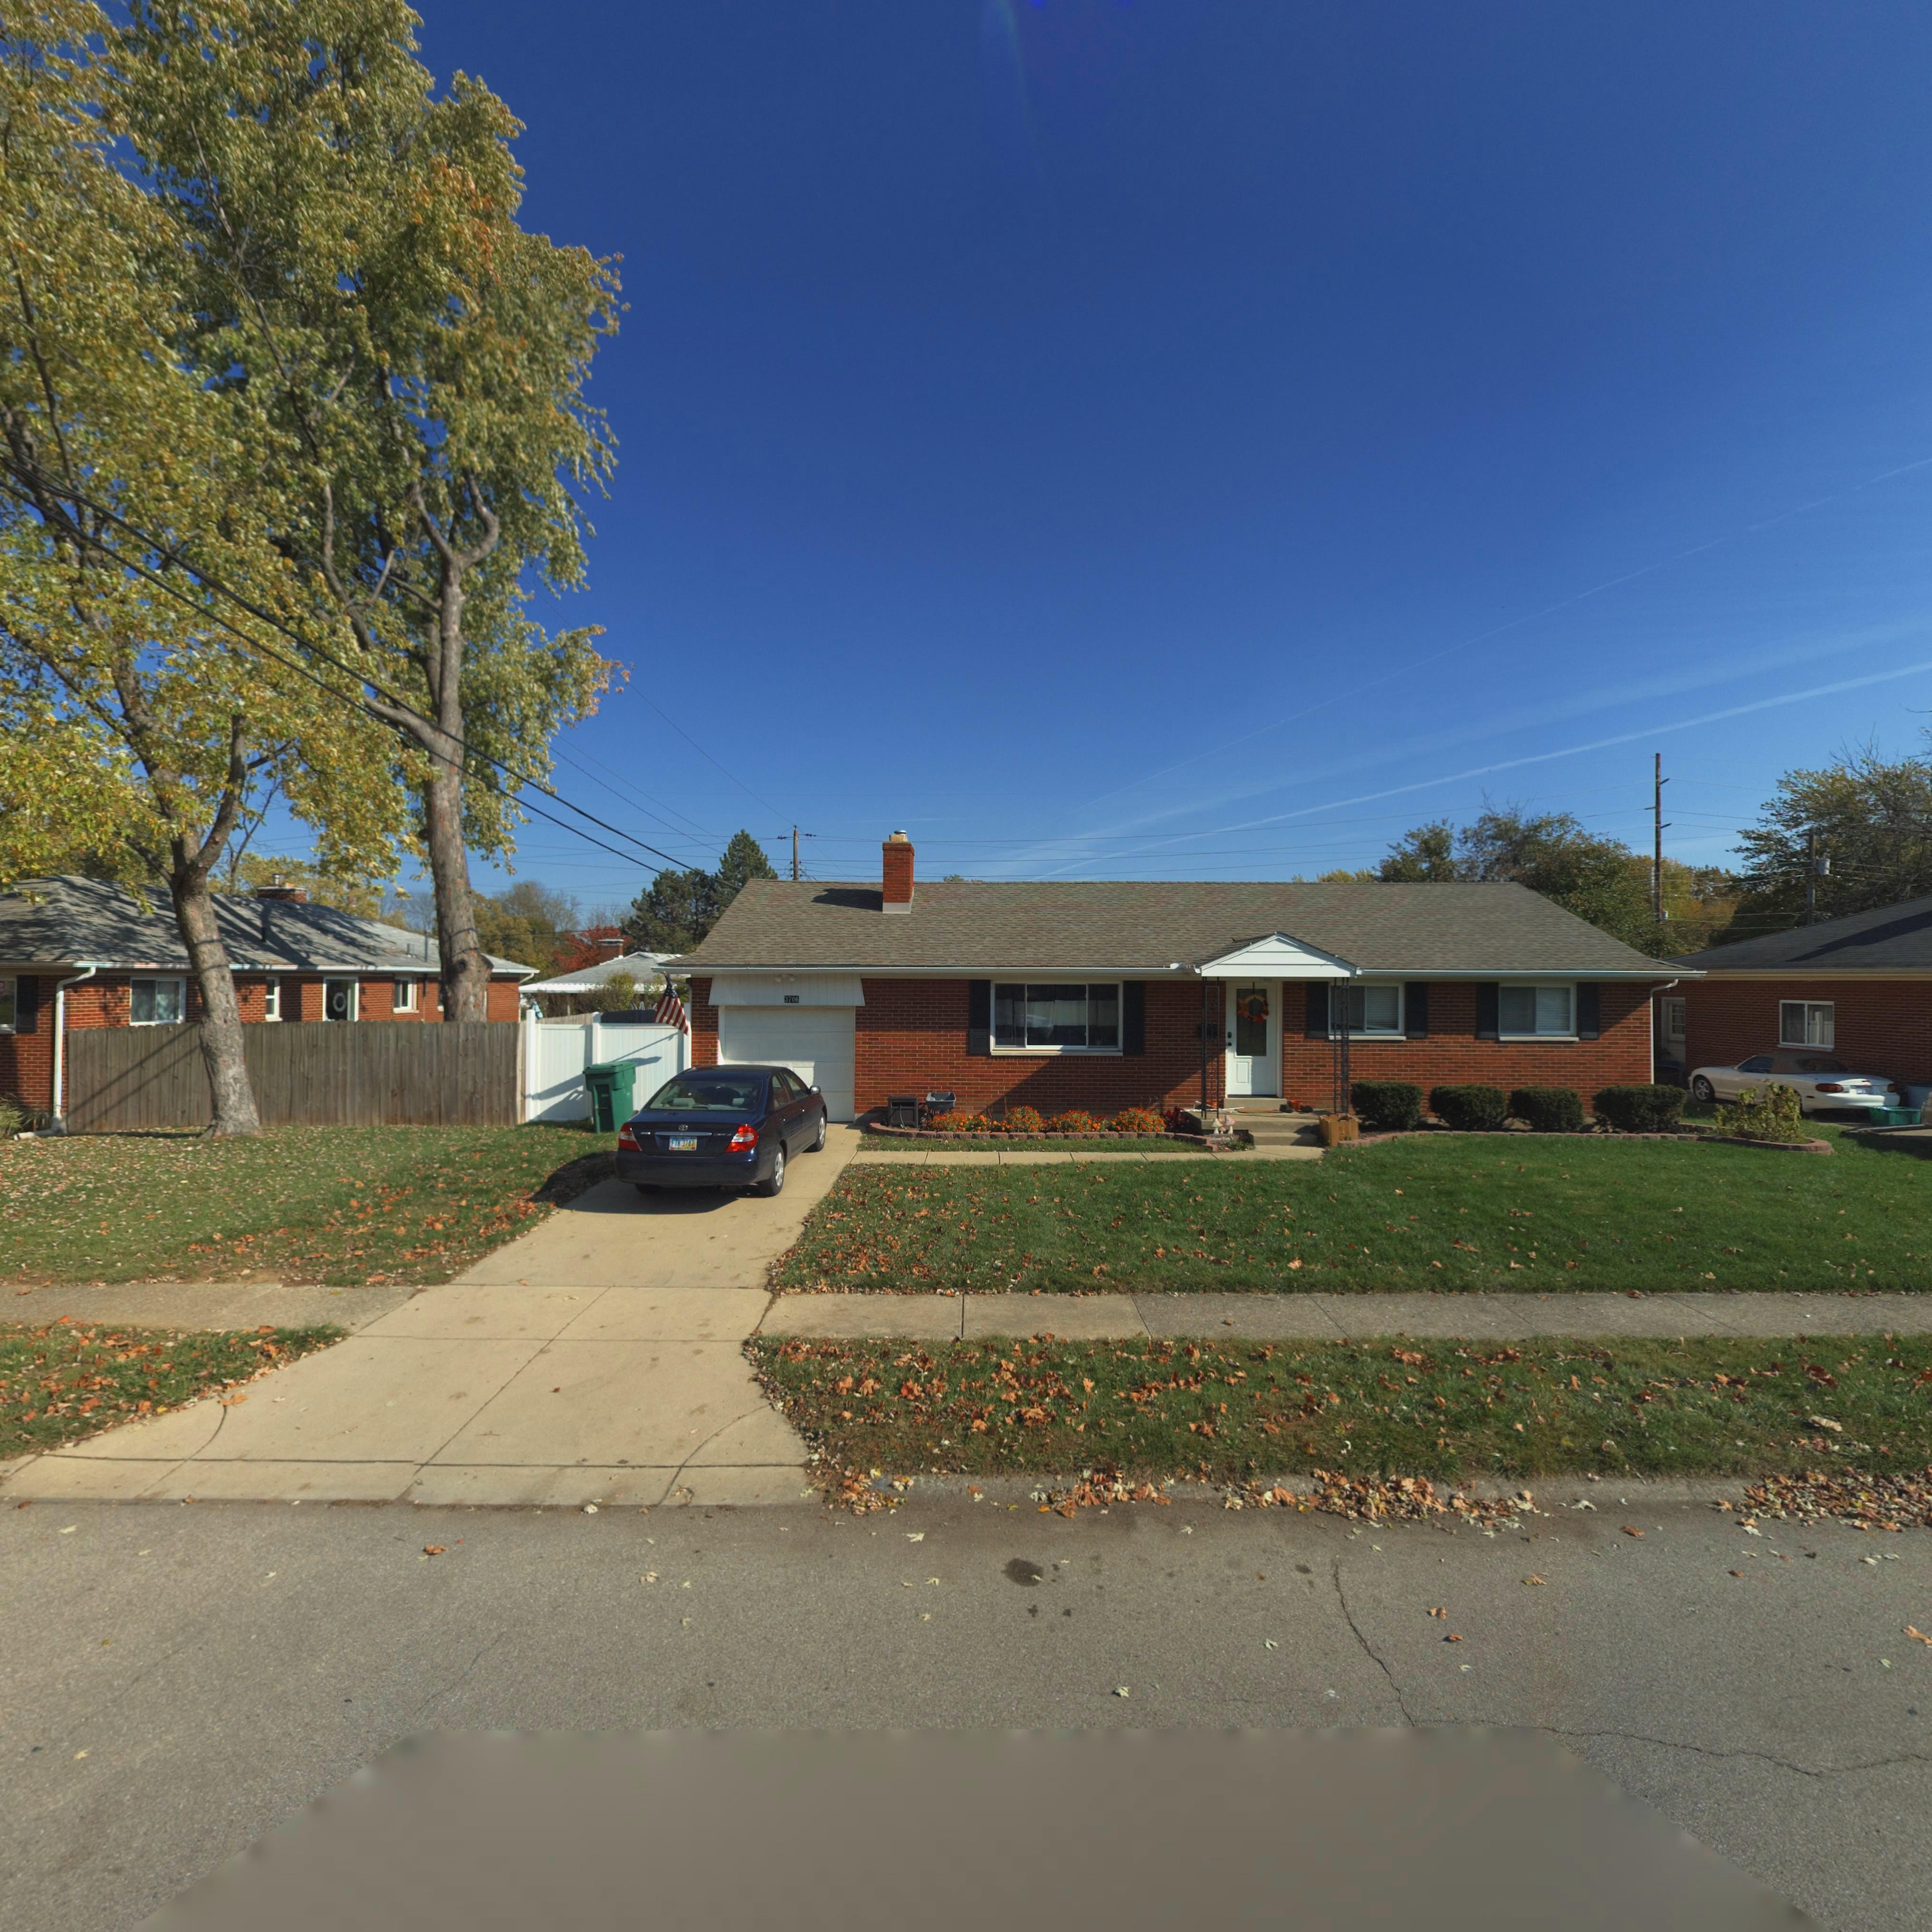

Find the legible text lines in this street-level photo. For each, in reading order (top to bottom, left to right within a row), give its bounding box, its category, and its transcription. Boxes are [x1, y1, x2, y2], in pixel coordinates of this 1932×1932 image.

[783, 995, 800, 1003] StreetNumber: 3706